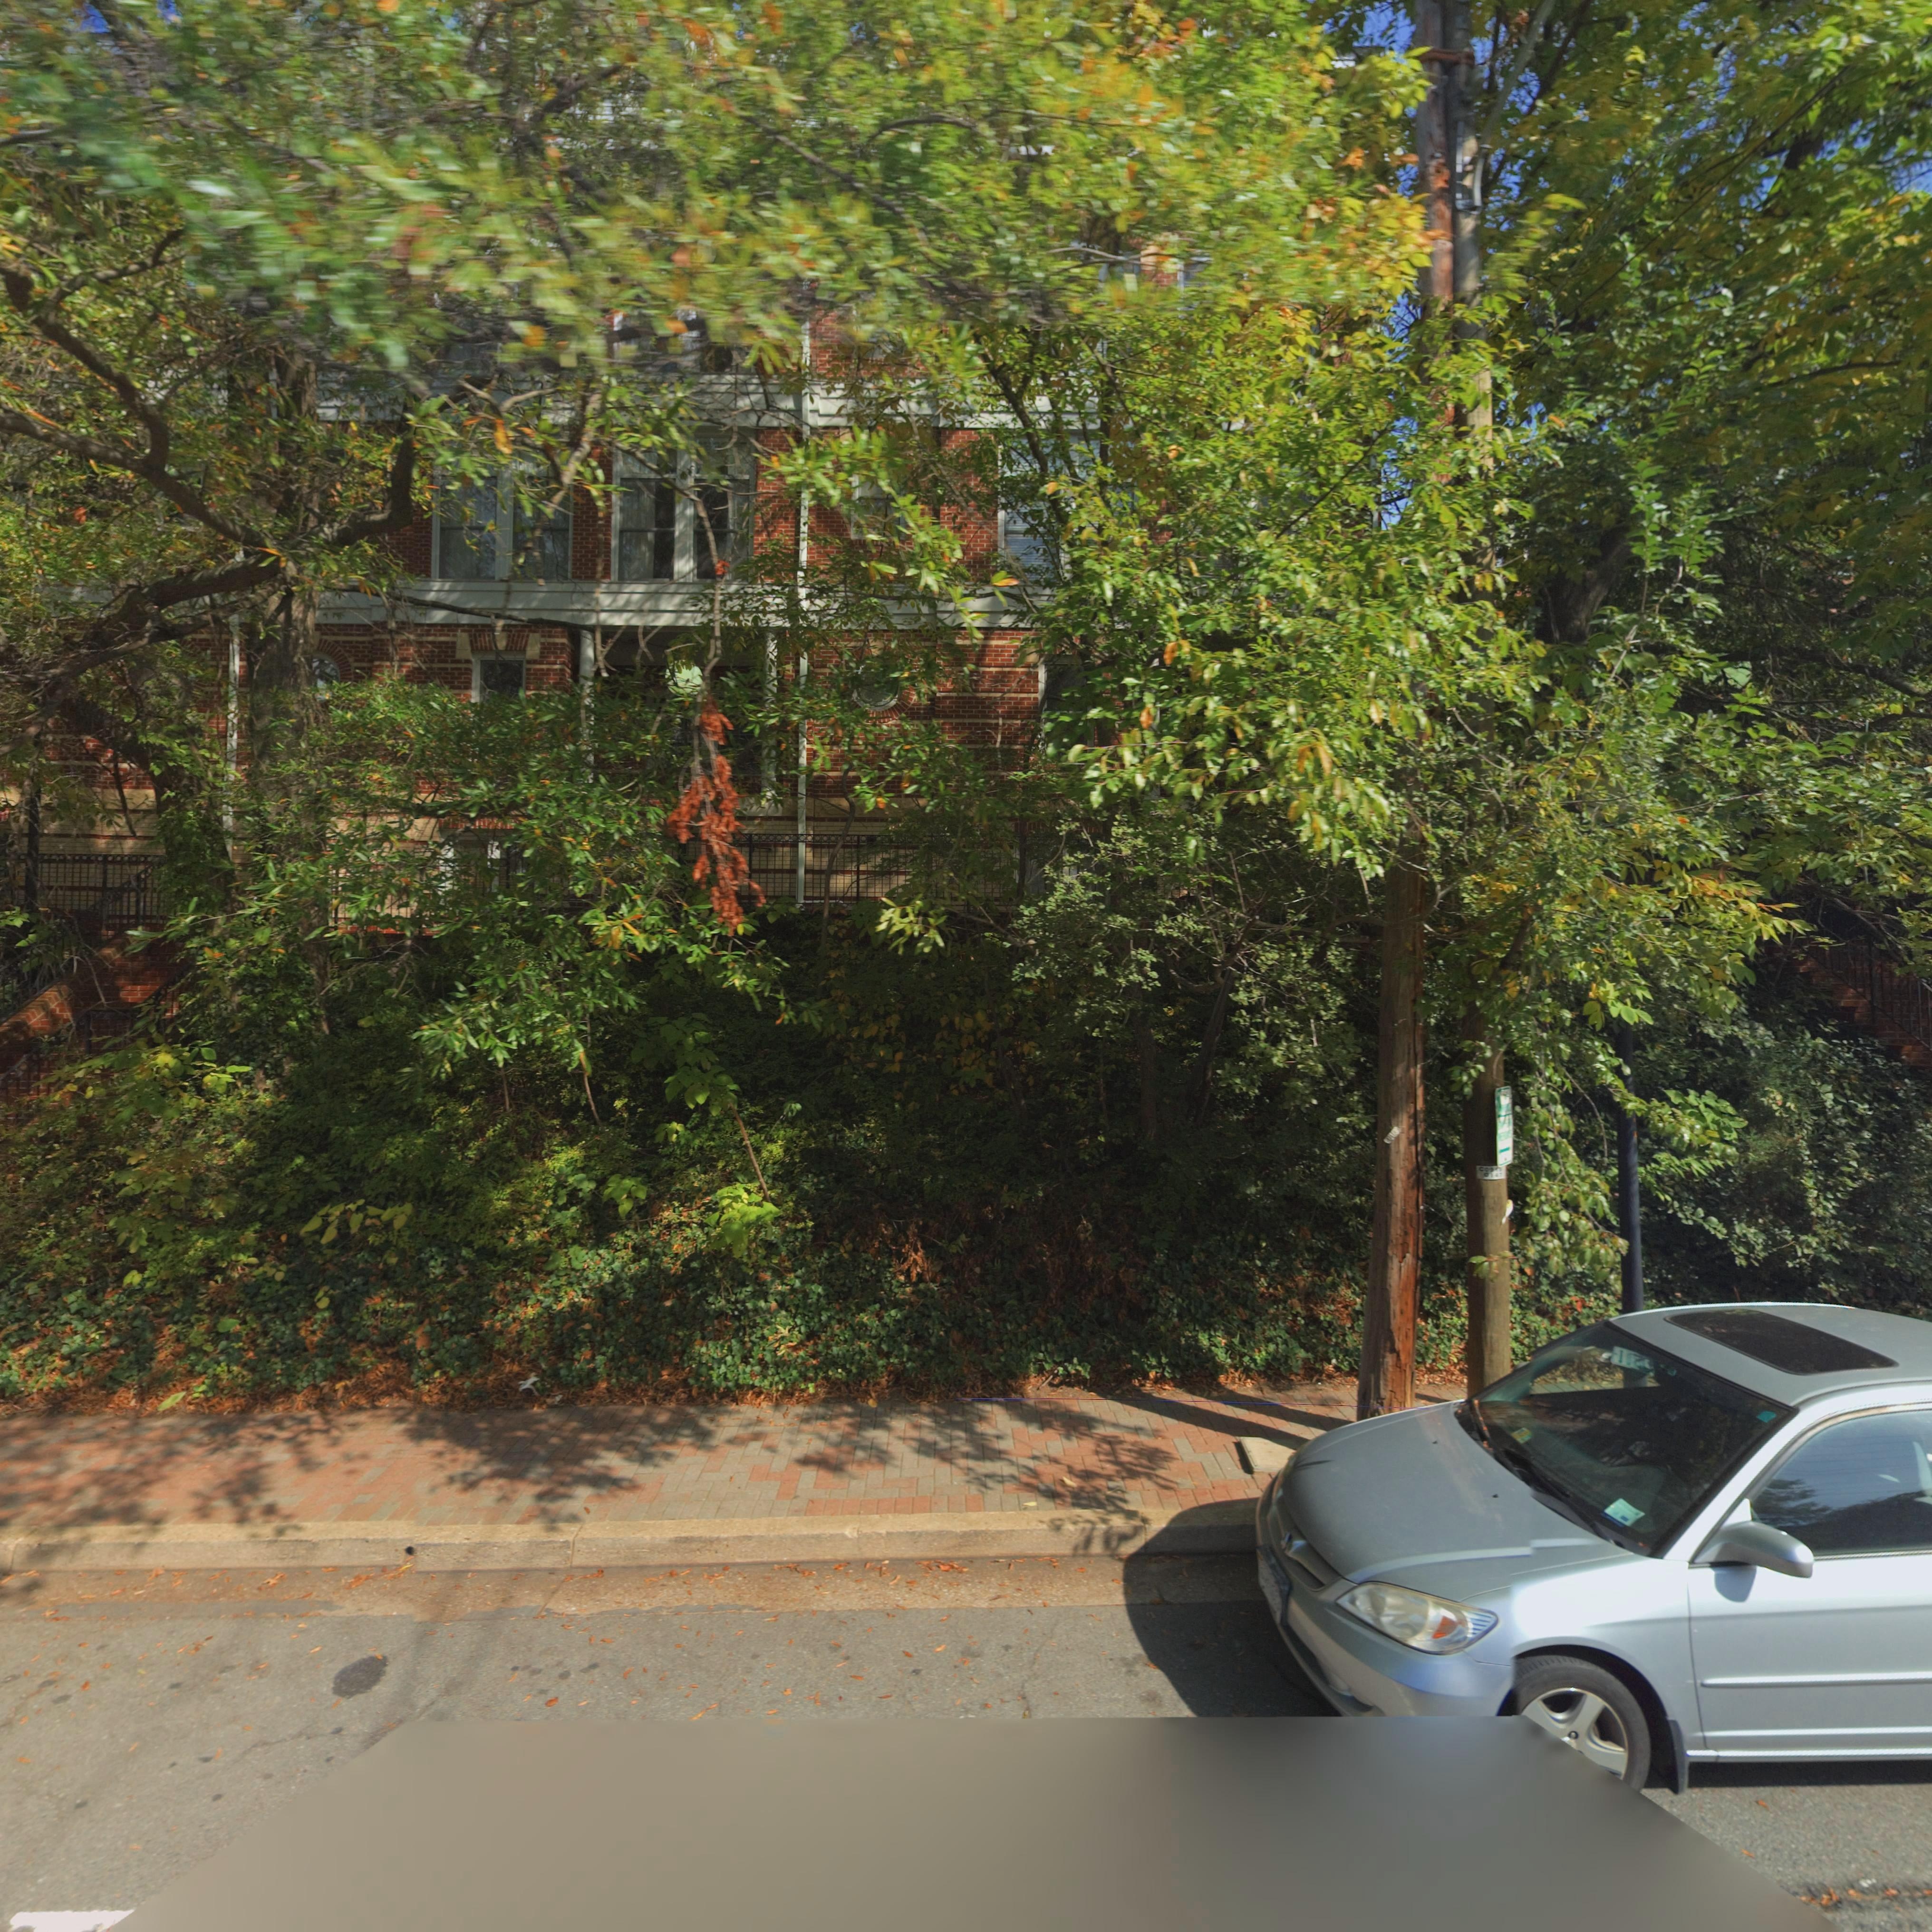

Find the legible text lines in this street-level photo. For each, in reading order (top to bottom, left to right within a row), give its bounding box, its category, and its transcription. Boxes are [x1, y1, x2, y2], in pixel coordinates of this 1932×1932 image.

[1478, 1166, 1494, 1173] None: C09
[1483, 1172, 1503, 1178] None: 0147